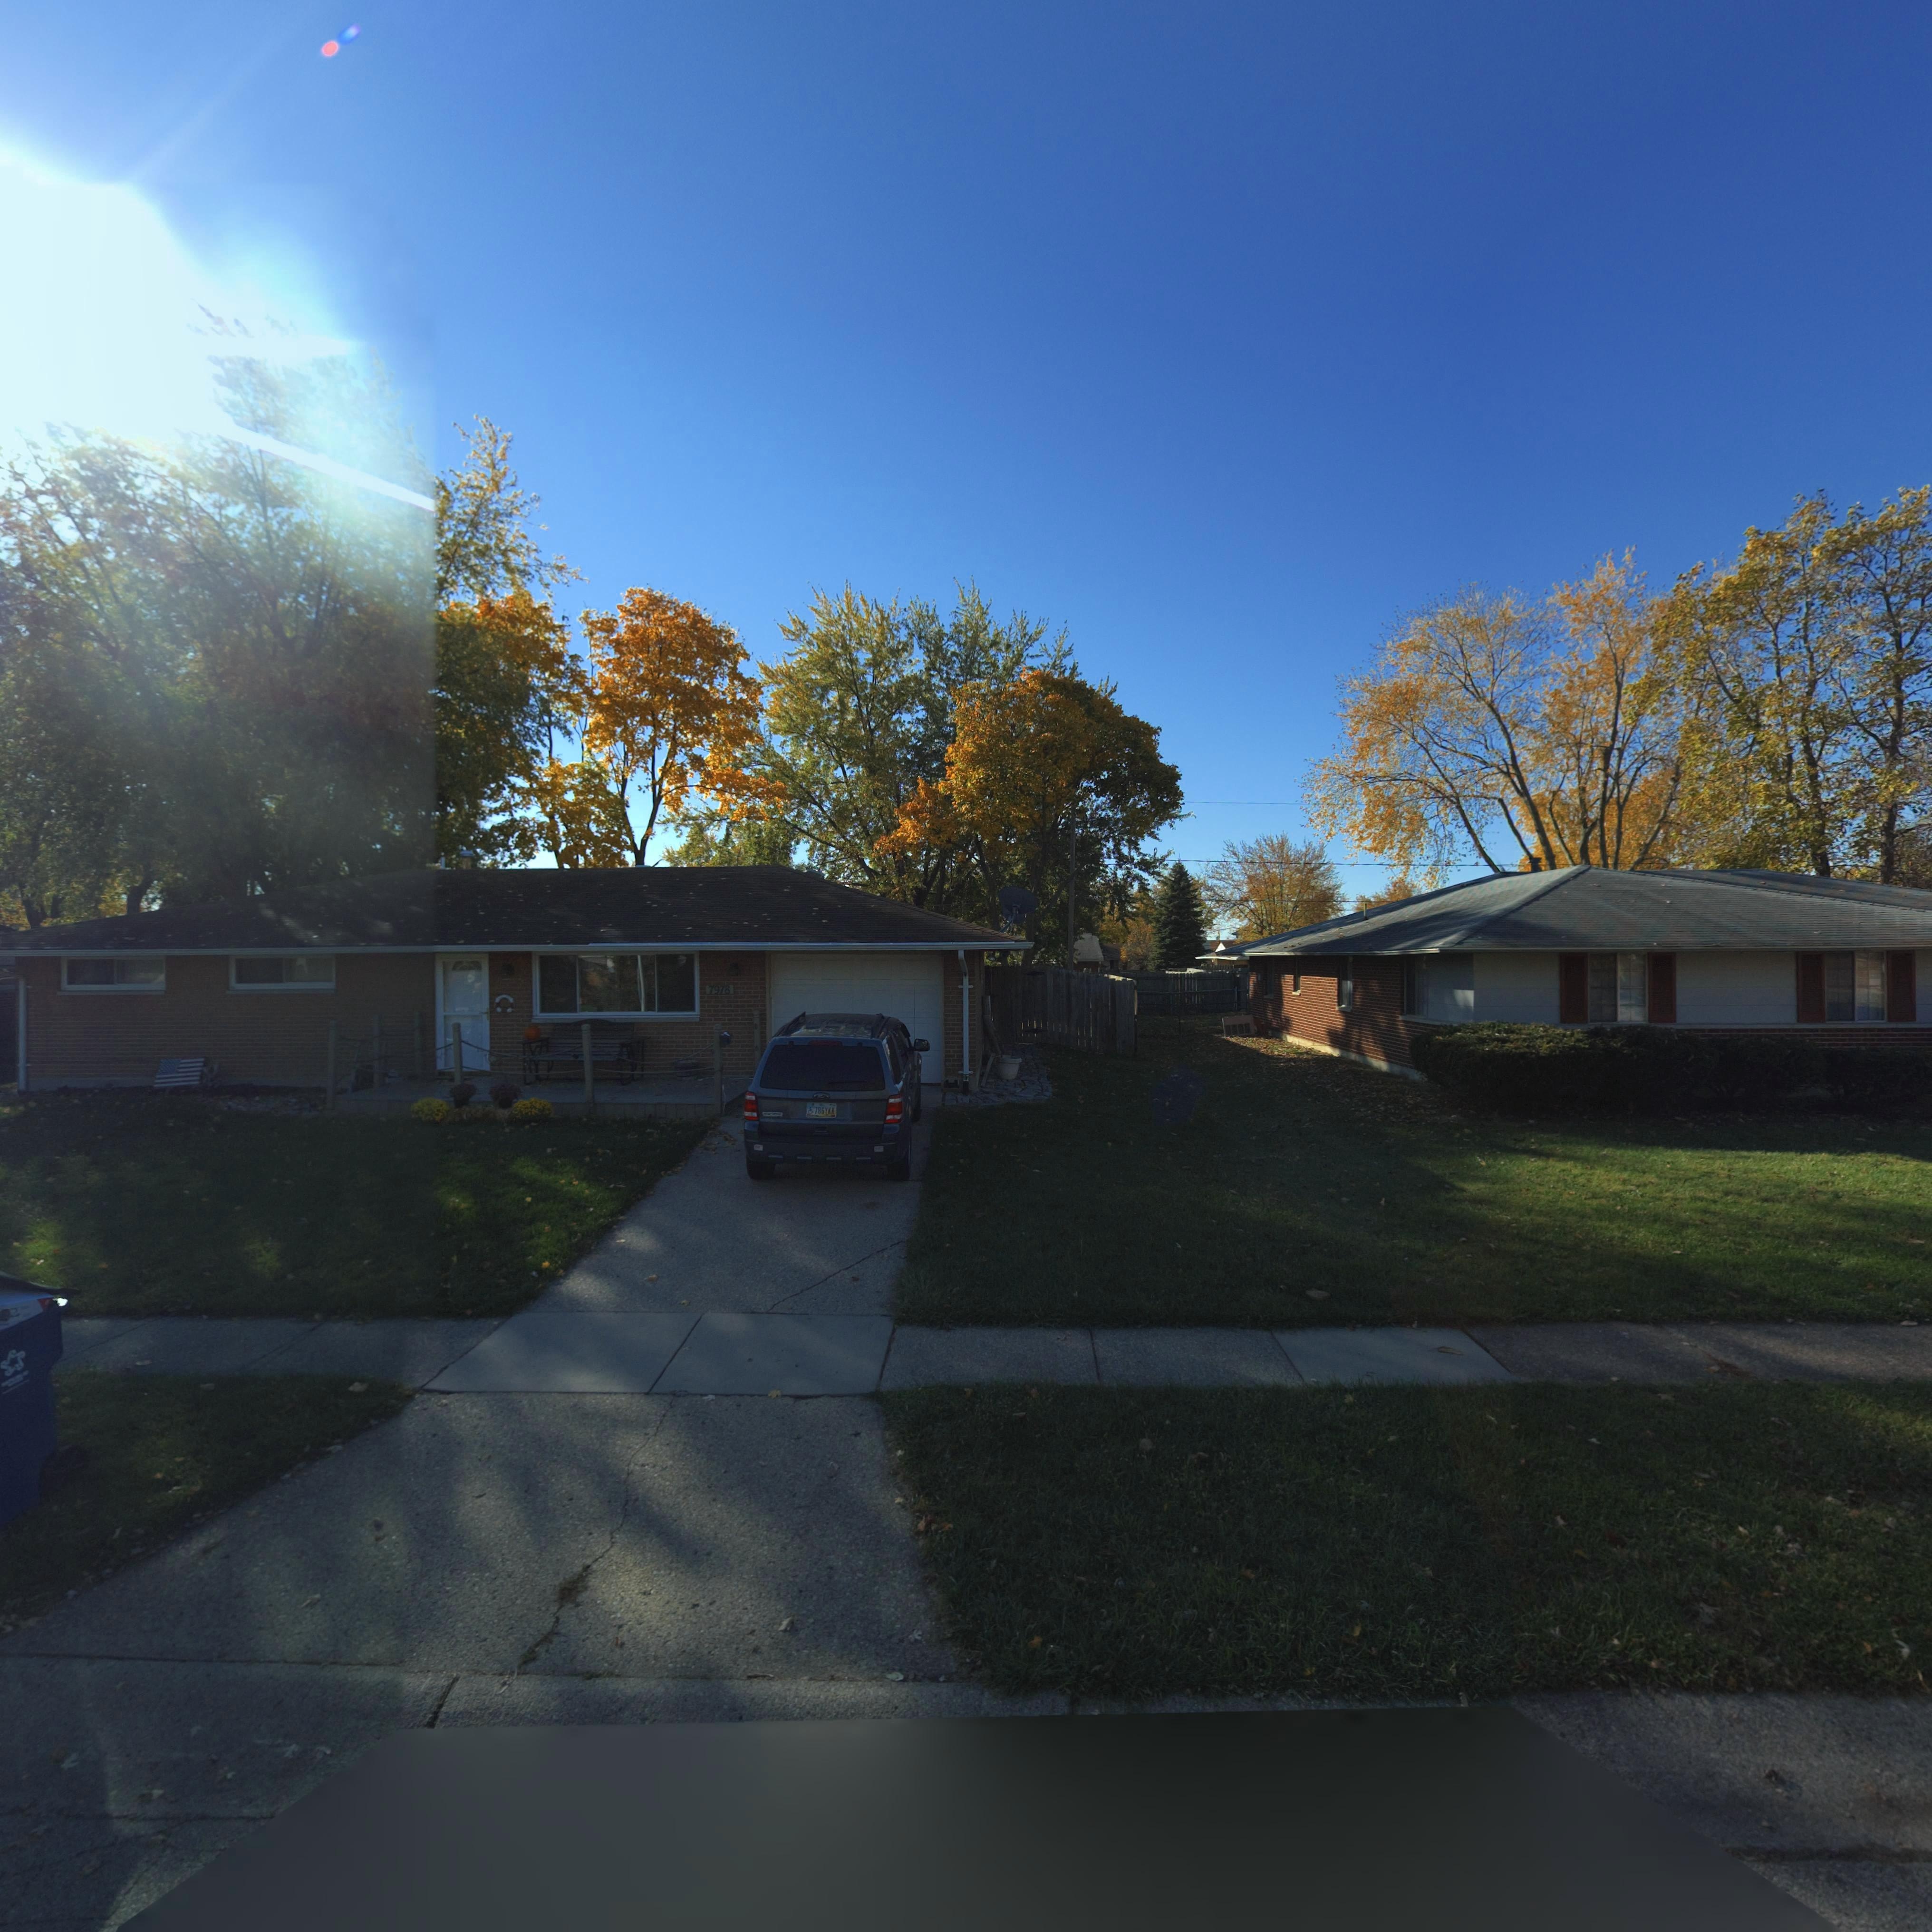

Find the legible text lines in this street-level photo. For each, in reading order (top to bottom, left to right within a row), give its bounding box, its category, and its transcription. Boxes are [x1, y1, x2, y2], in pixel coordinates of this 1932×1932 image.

[708, 985, 731, 995] StreetNumber: 7978